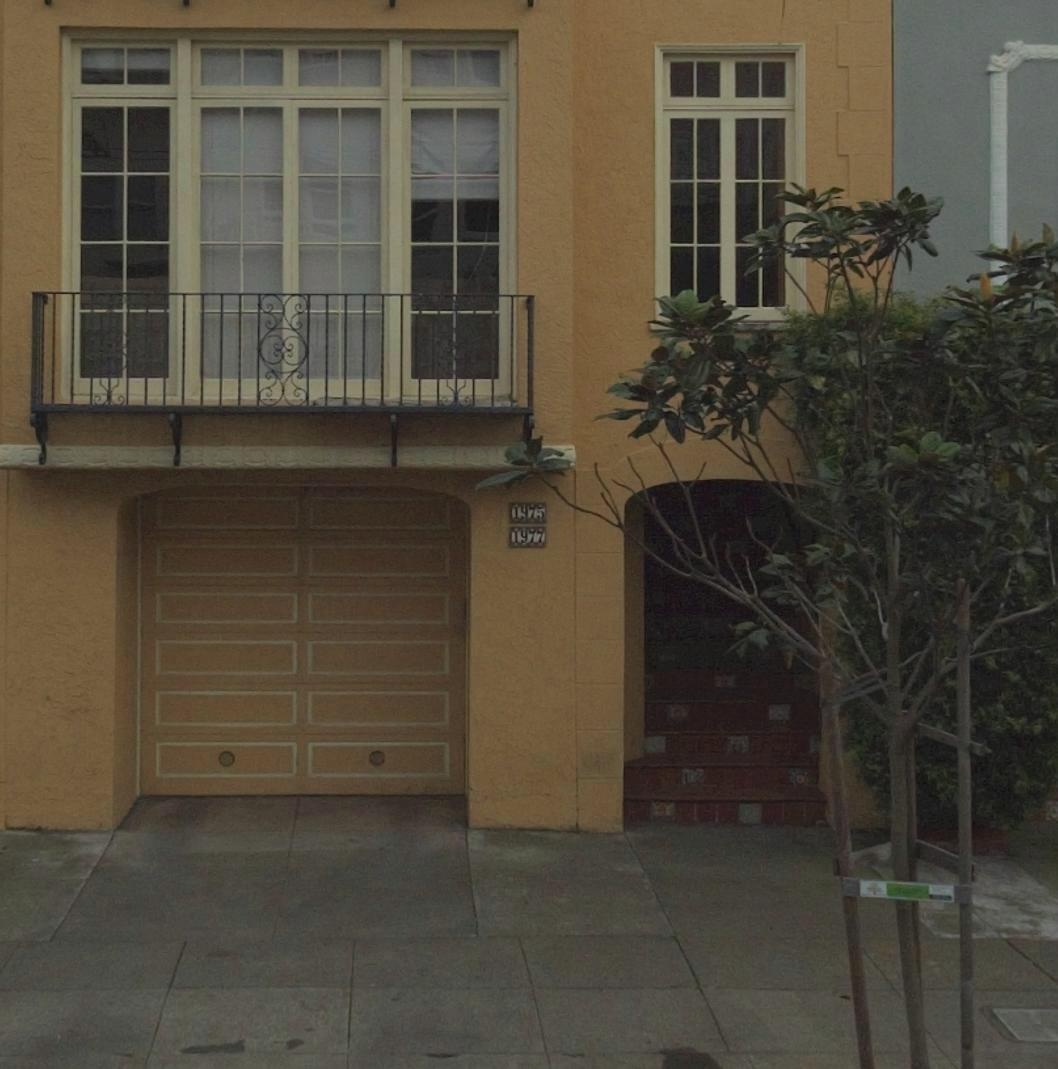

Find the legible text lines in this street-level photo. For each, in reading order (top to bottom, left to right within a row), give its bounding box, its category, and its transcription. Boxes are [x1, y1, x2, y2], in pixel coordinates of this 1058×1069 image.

[513, 503, 546, 522] StreetNumber: 1975
[512, 528, 546, 546] StreetNumber: 1977